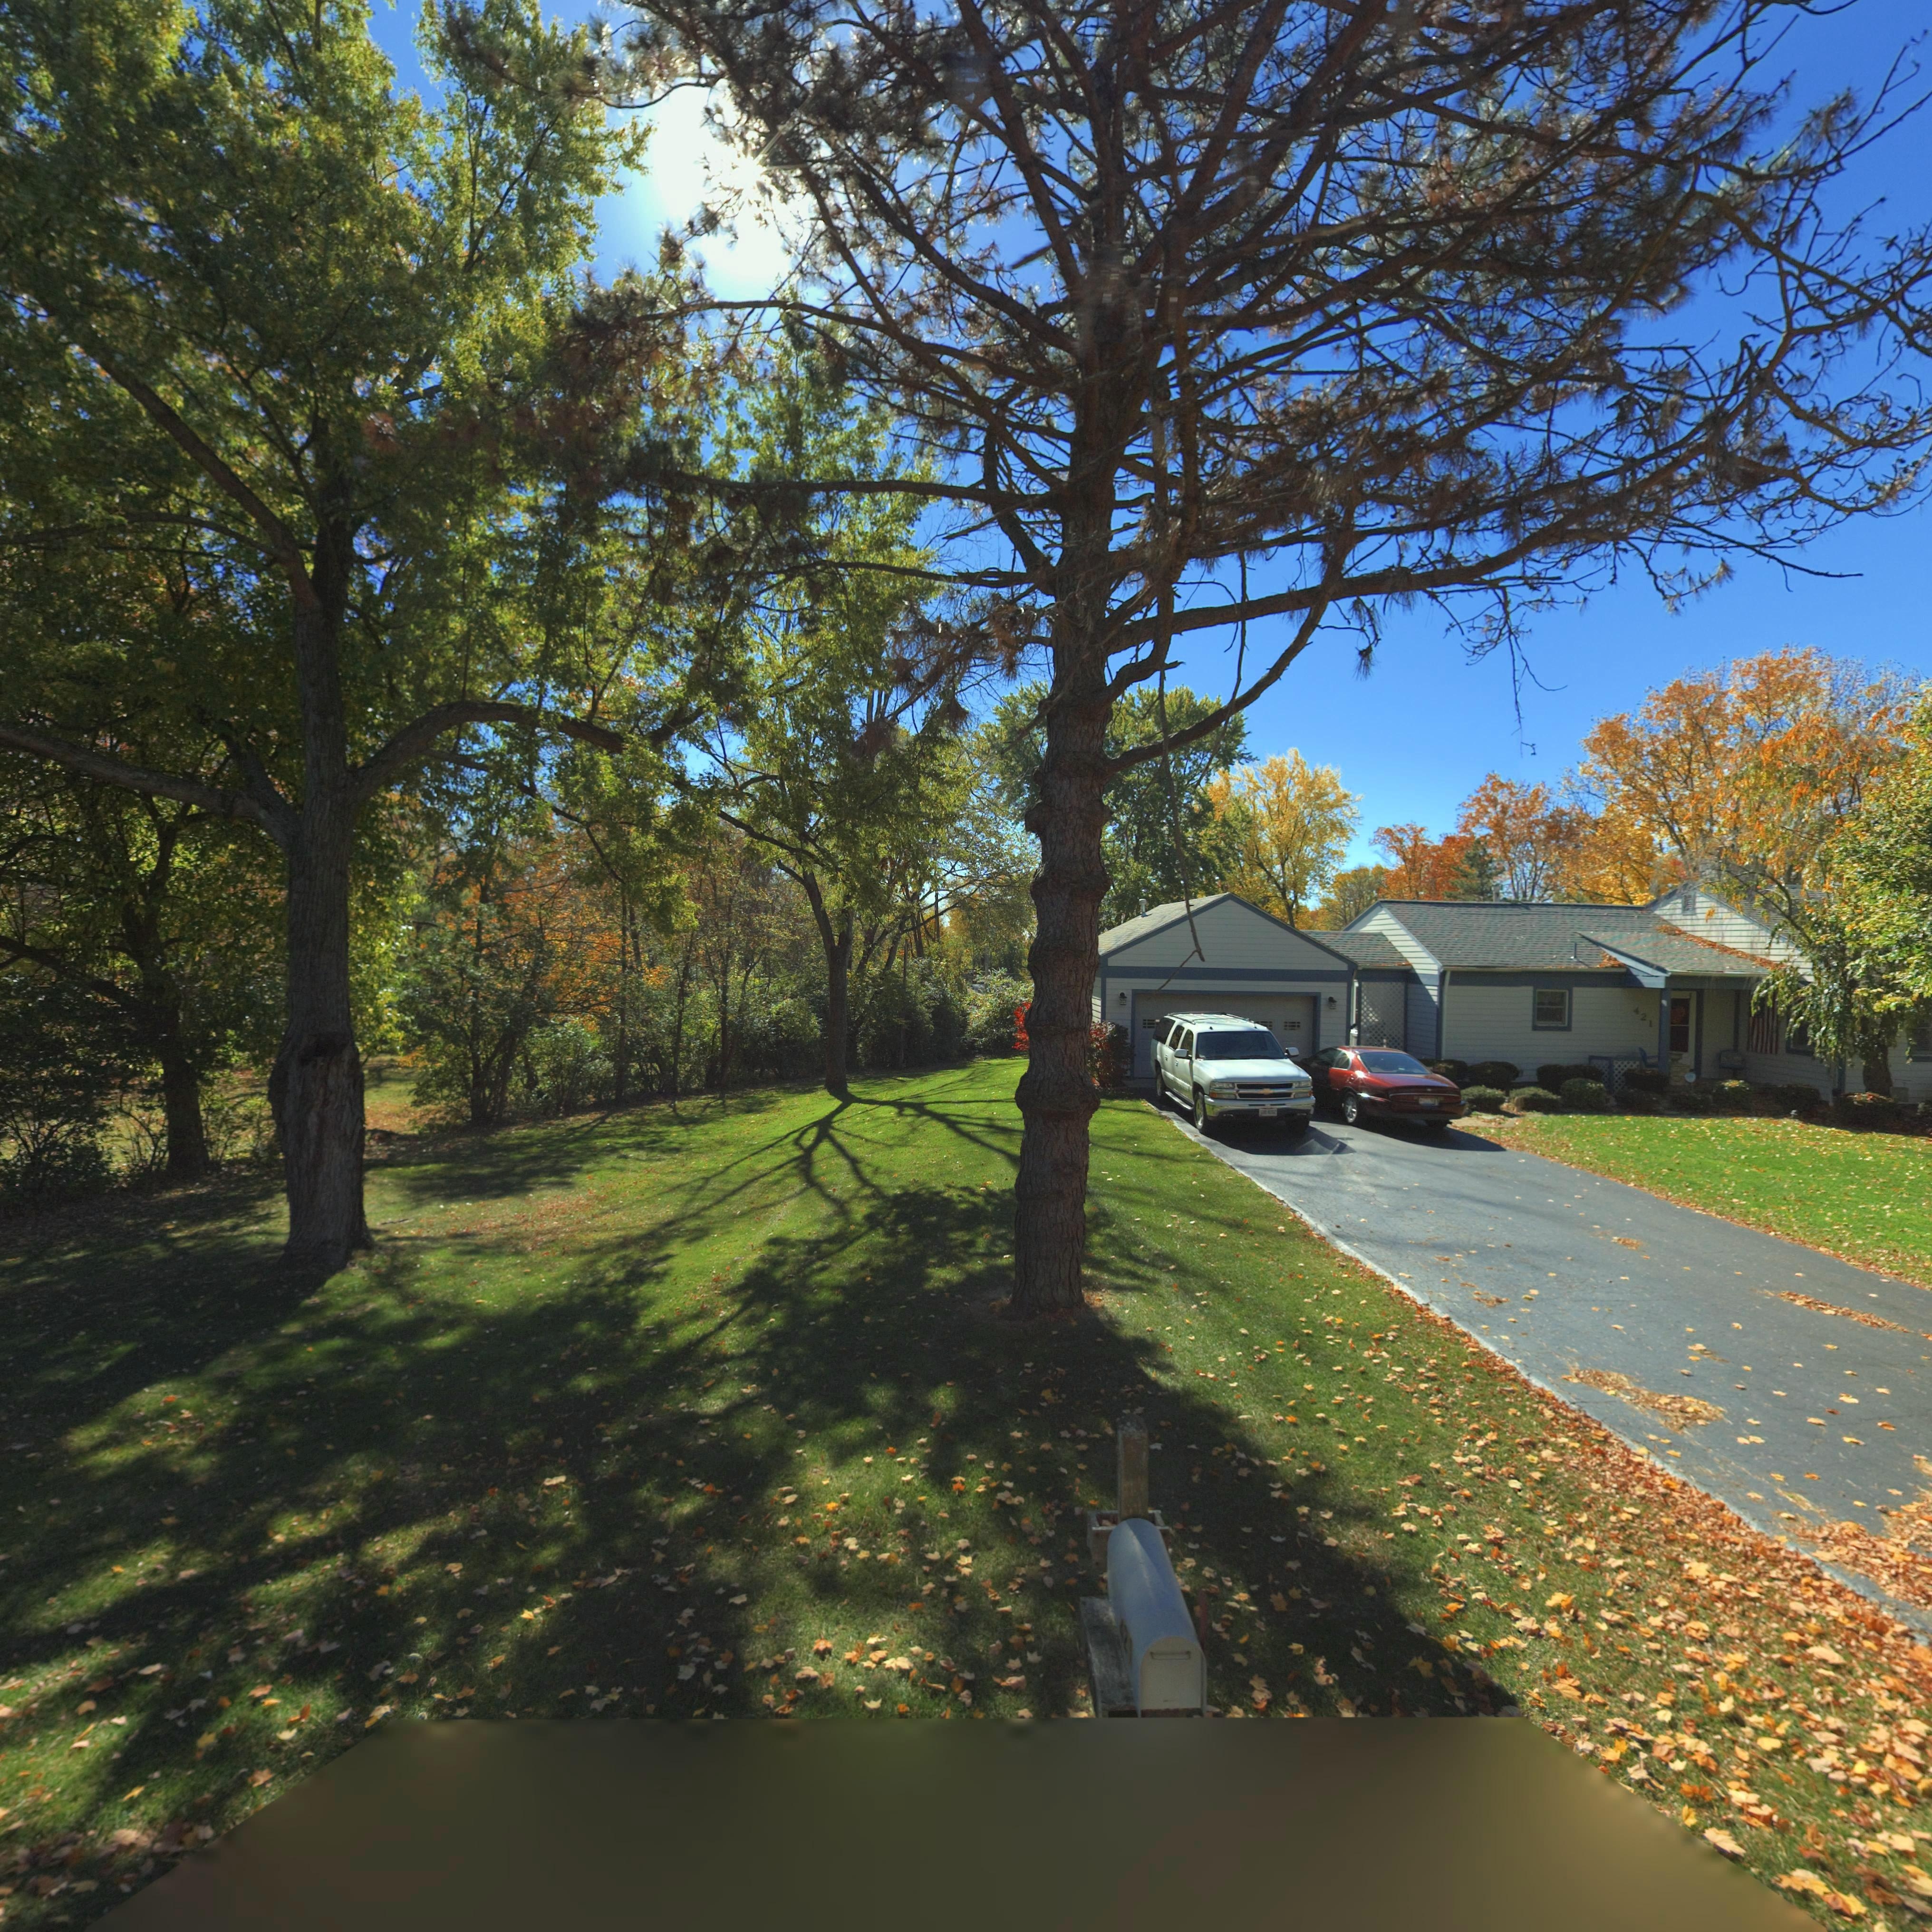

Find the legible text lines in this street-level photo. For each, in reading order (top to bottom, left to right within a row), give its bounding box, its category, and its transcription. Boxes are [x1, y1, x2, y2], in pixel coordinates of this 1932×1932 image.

[1633, 1005, 1653, 1028] StreetNumber: 421